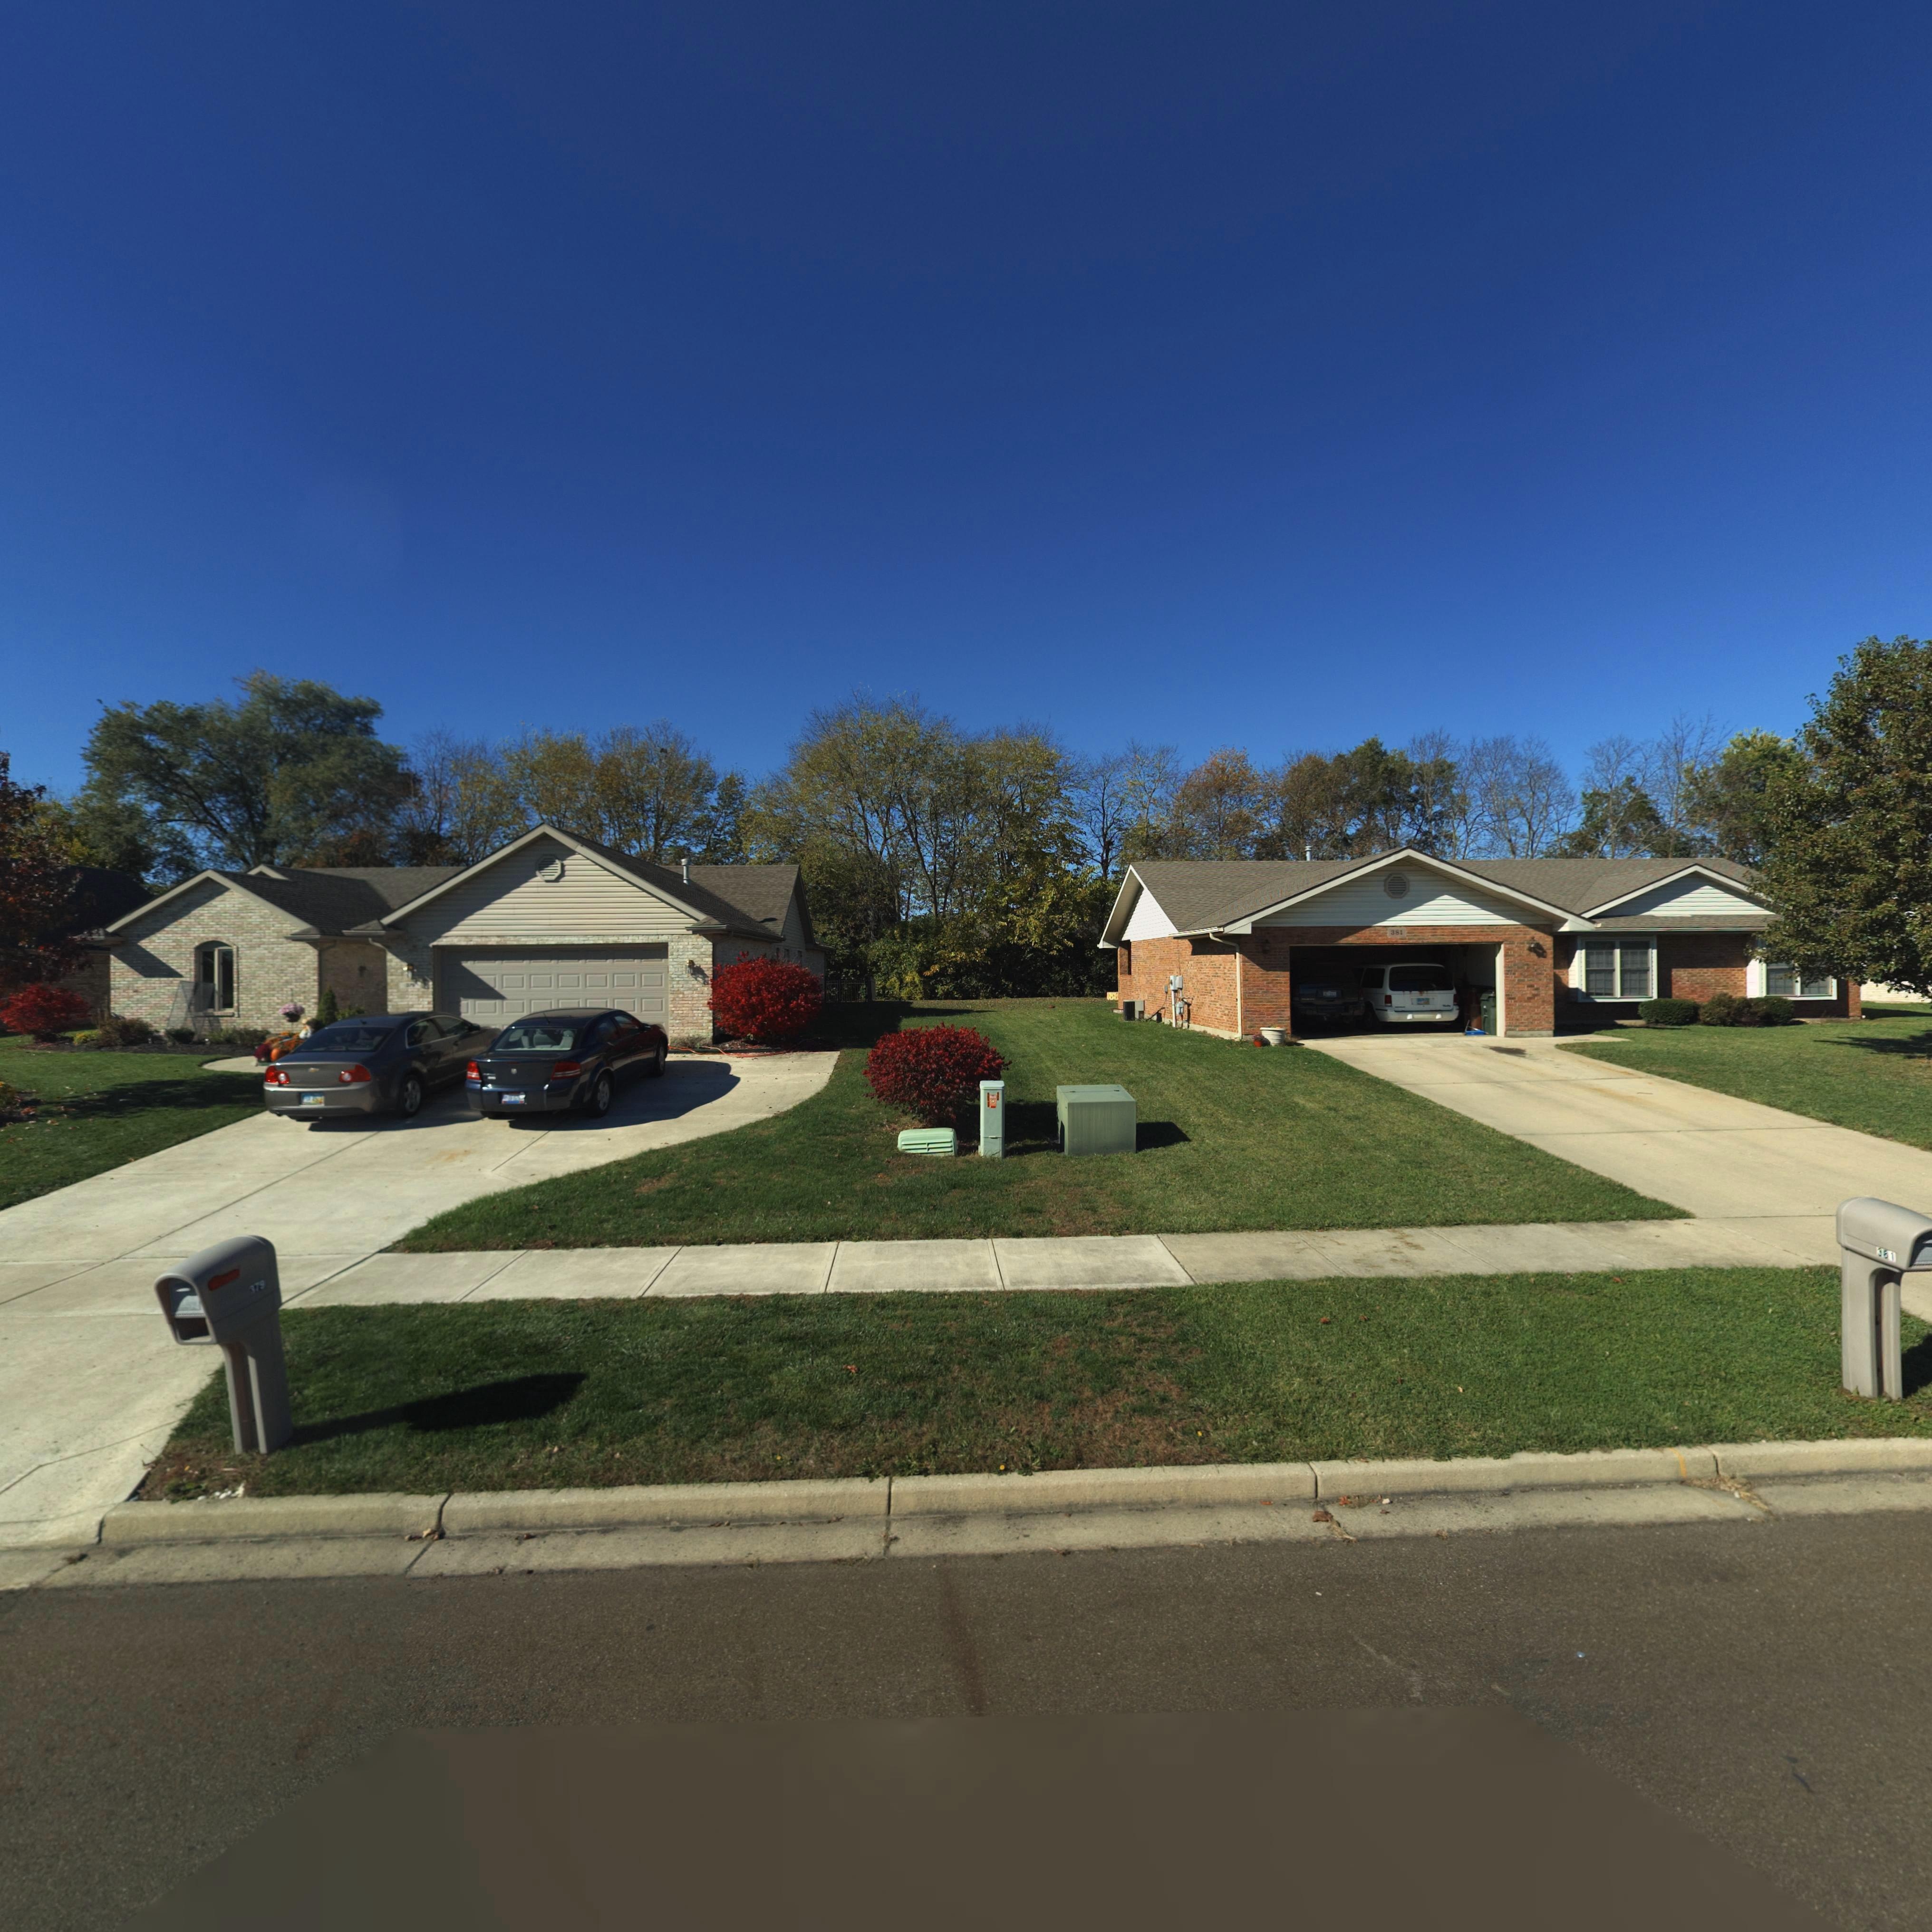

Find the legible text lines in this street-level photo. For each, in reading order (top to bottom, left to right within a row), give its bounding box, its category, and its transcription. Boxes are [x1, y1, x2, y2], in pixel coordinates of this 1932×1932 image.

[1390, 929, 1403, 935] StreetNumber: 381\
[406, 983, 415, 987] StreetNumber: *79
[1877, 1246, 1894, 1262] StreetNumber: 381
[247, 1278, 266, 1295] StreetNumber: 379